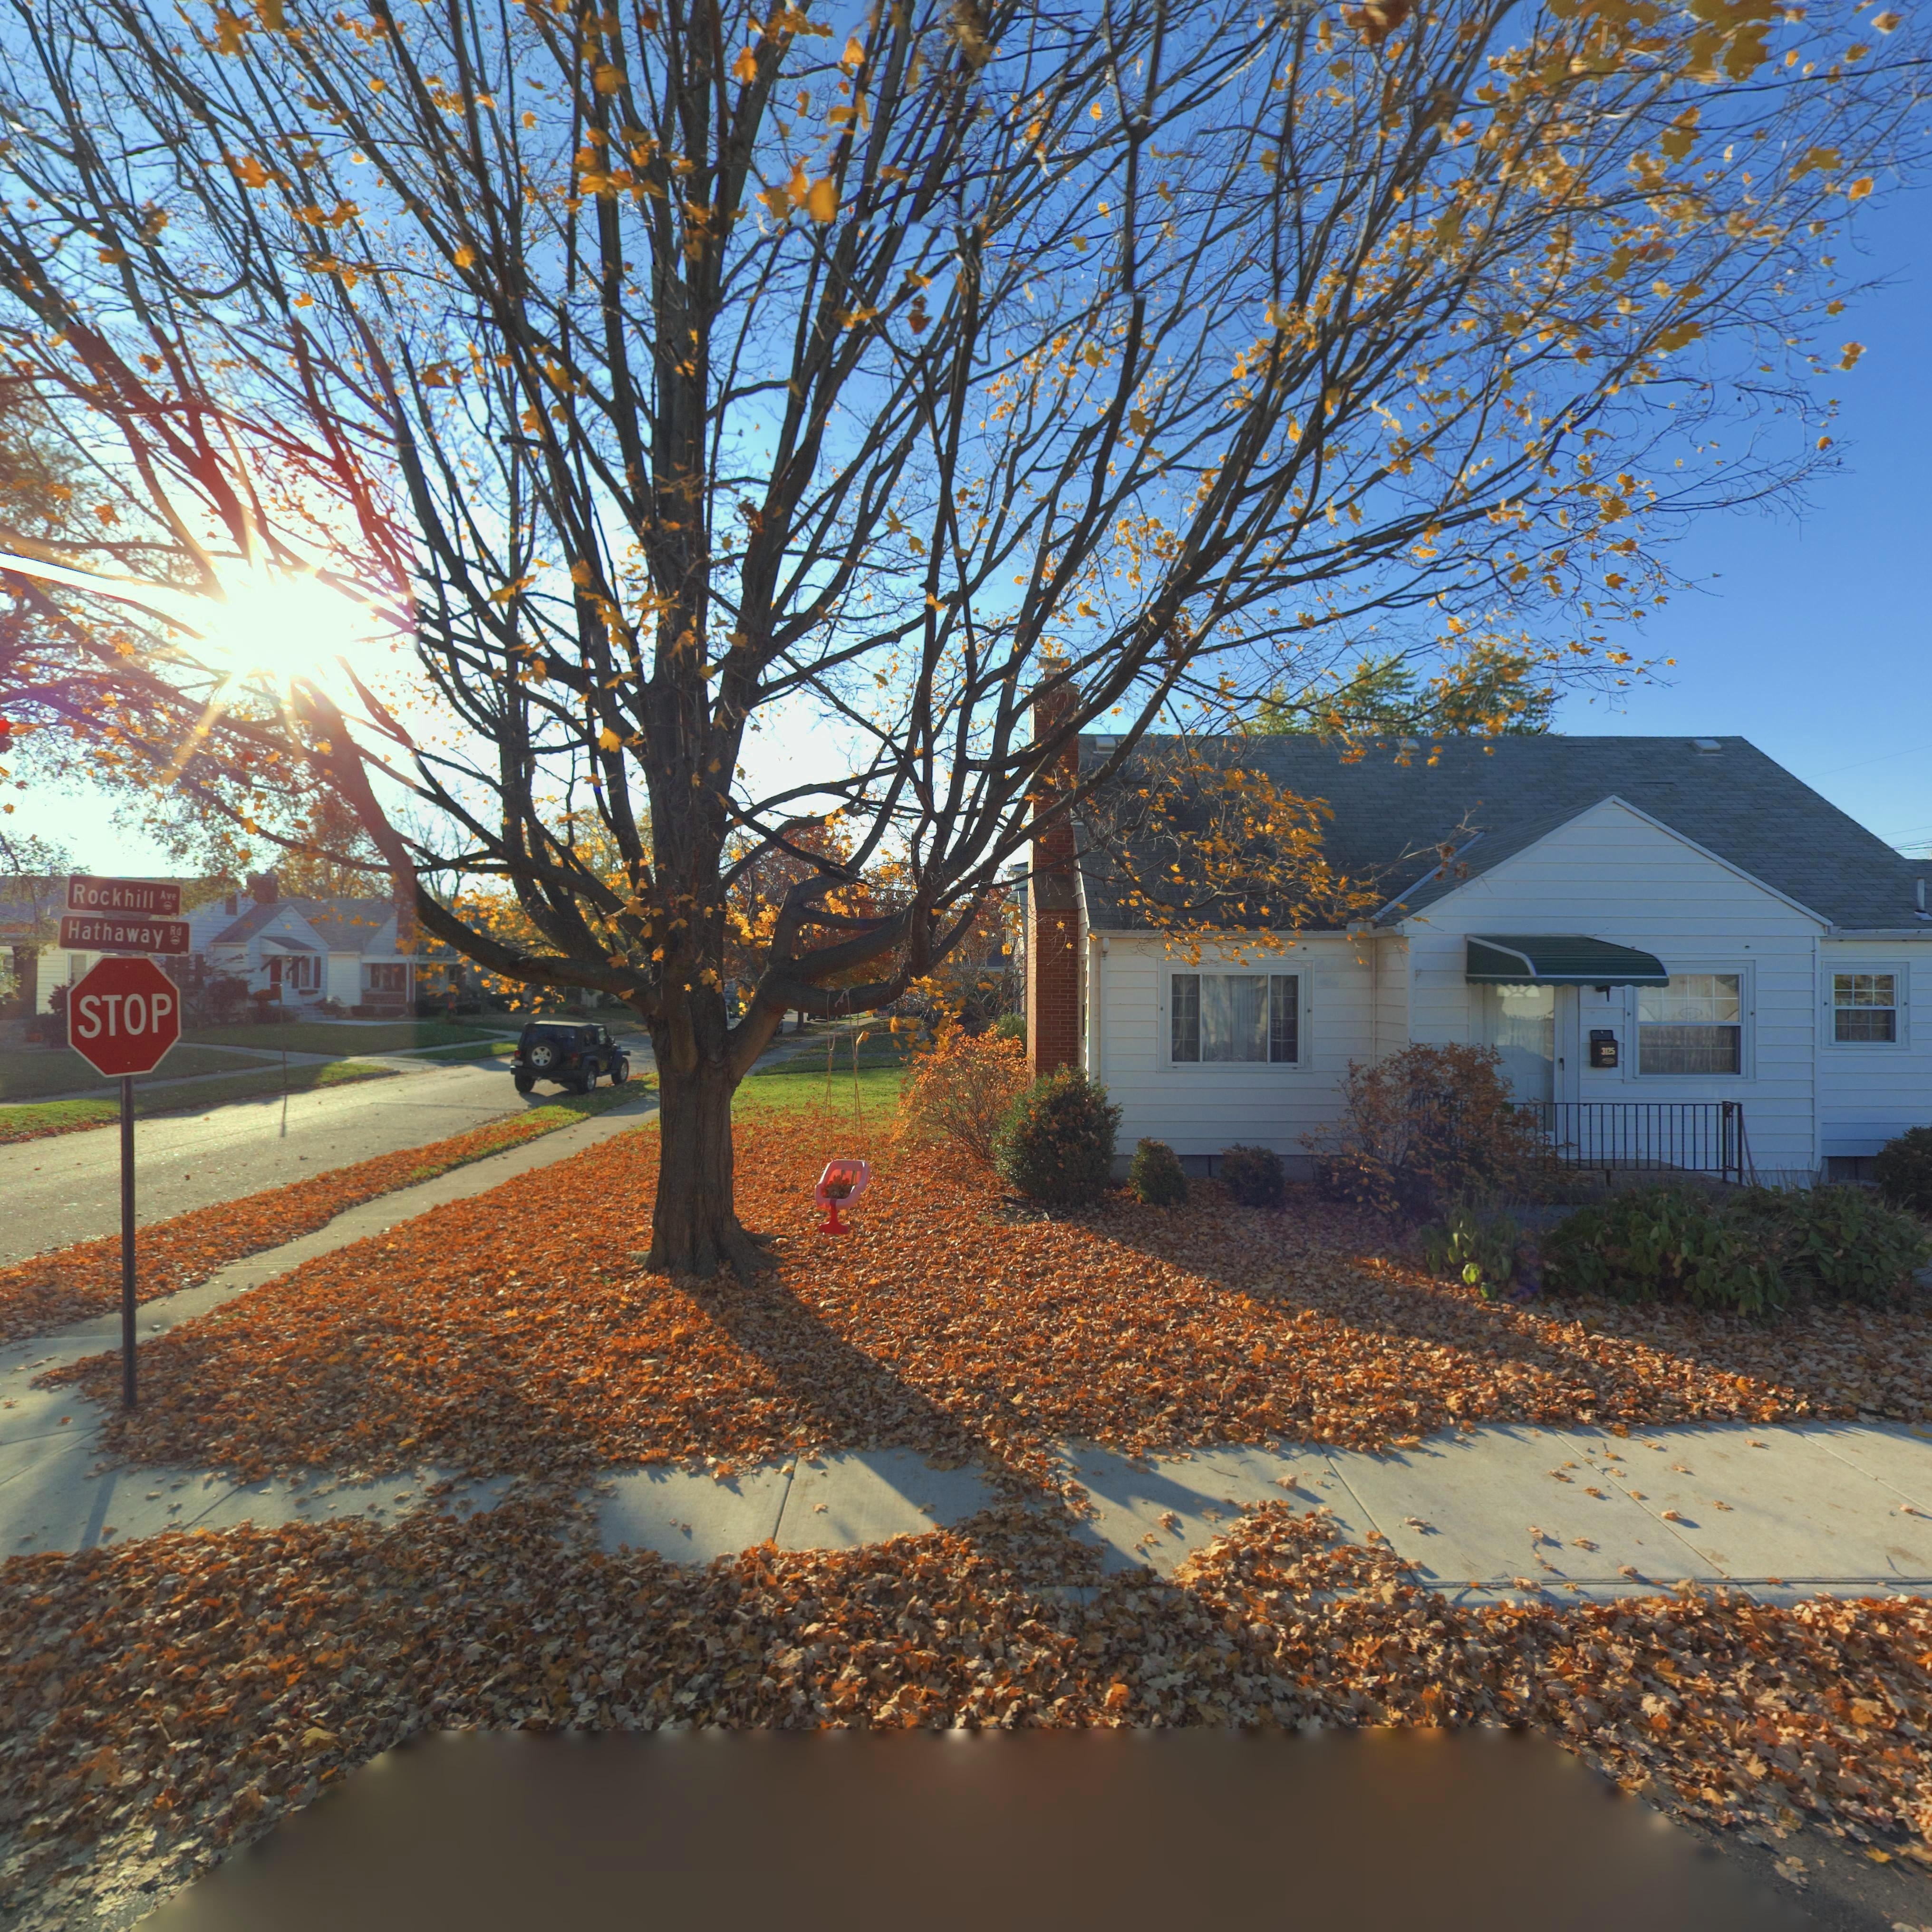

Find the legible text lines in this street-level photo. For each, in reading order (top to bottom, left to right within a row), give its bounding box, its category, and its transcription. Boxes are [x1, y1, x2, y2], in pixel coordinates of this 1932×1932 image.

[71, 882, 178, 909] StreetName: Rockhill Ave
[67, 918, 183, 951] StreetName: Hathaway Rd
[1600, 1046, 1616, 1056] StreetNumber: 3125